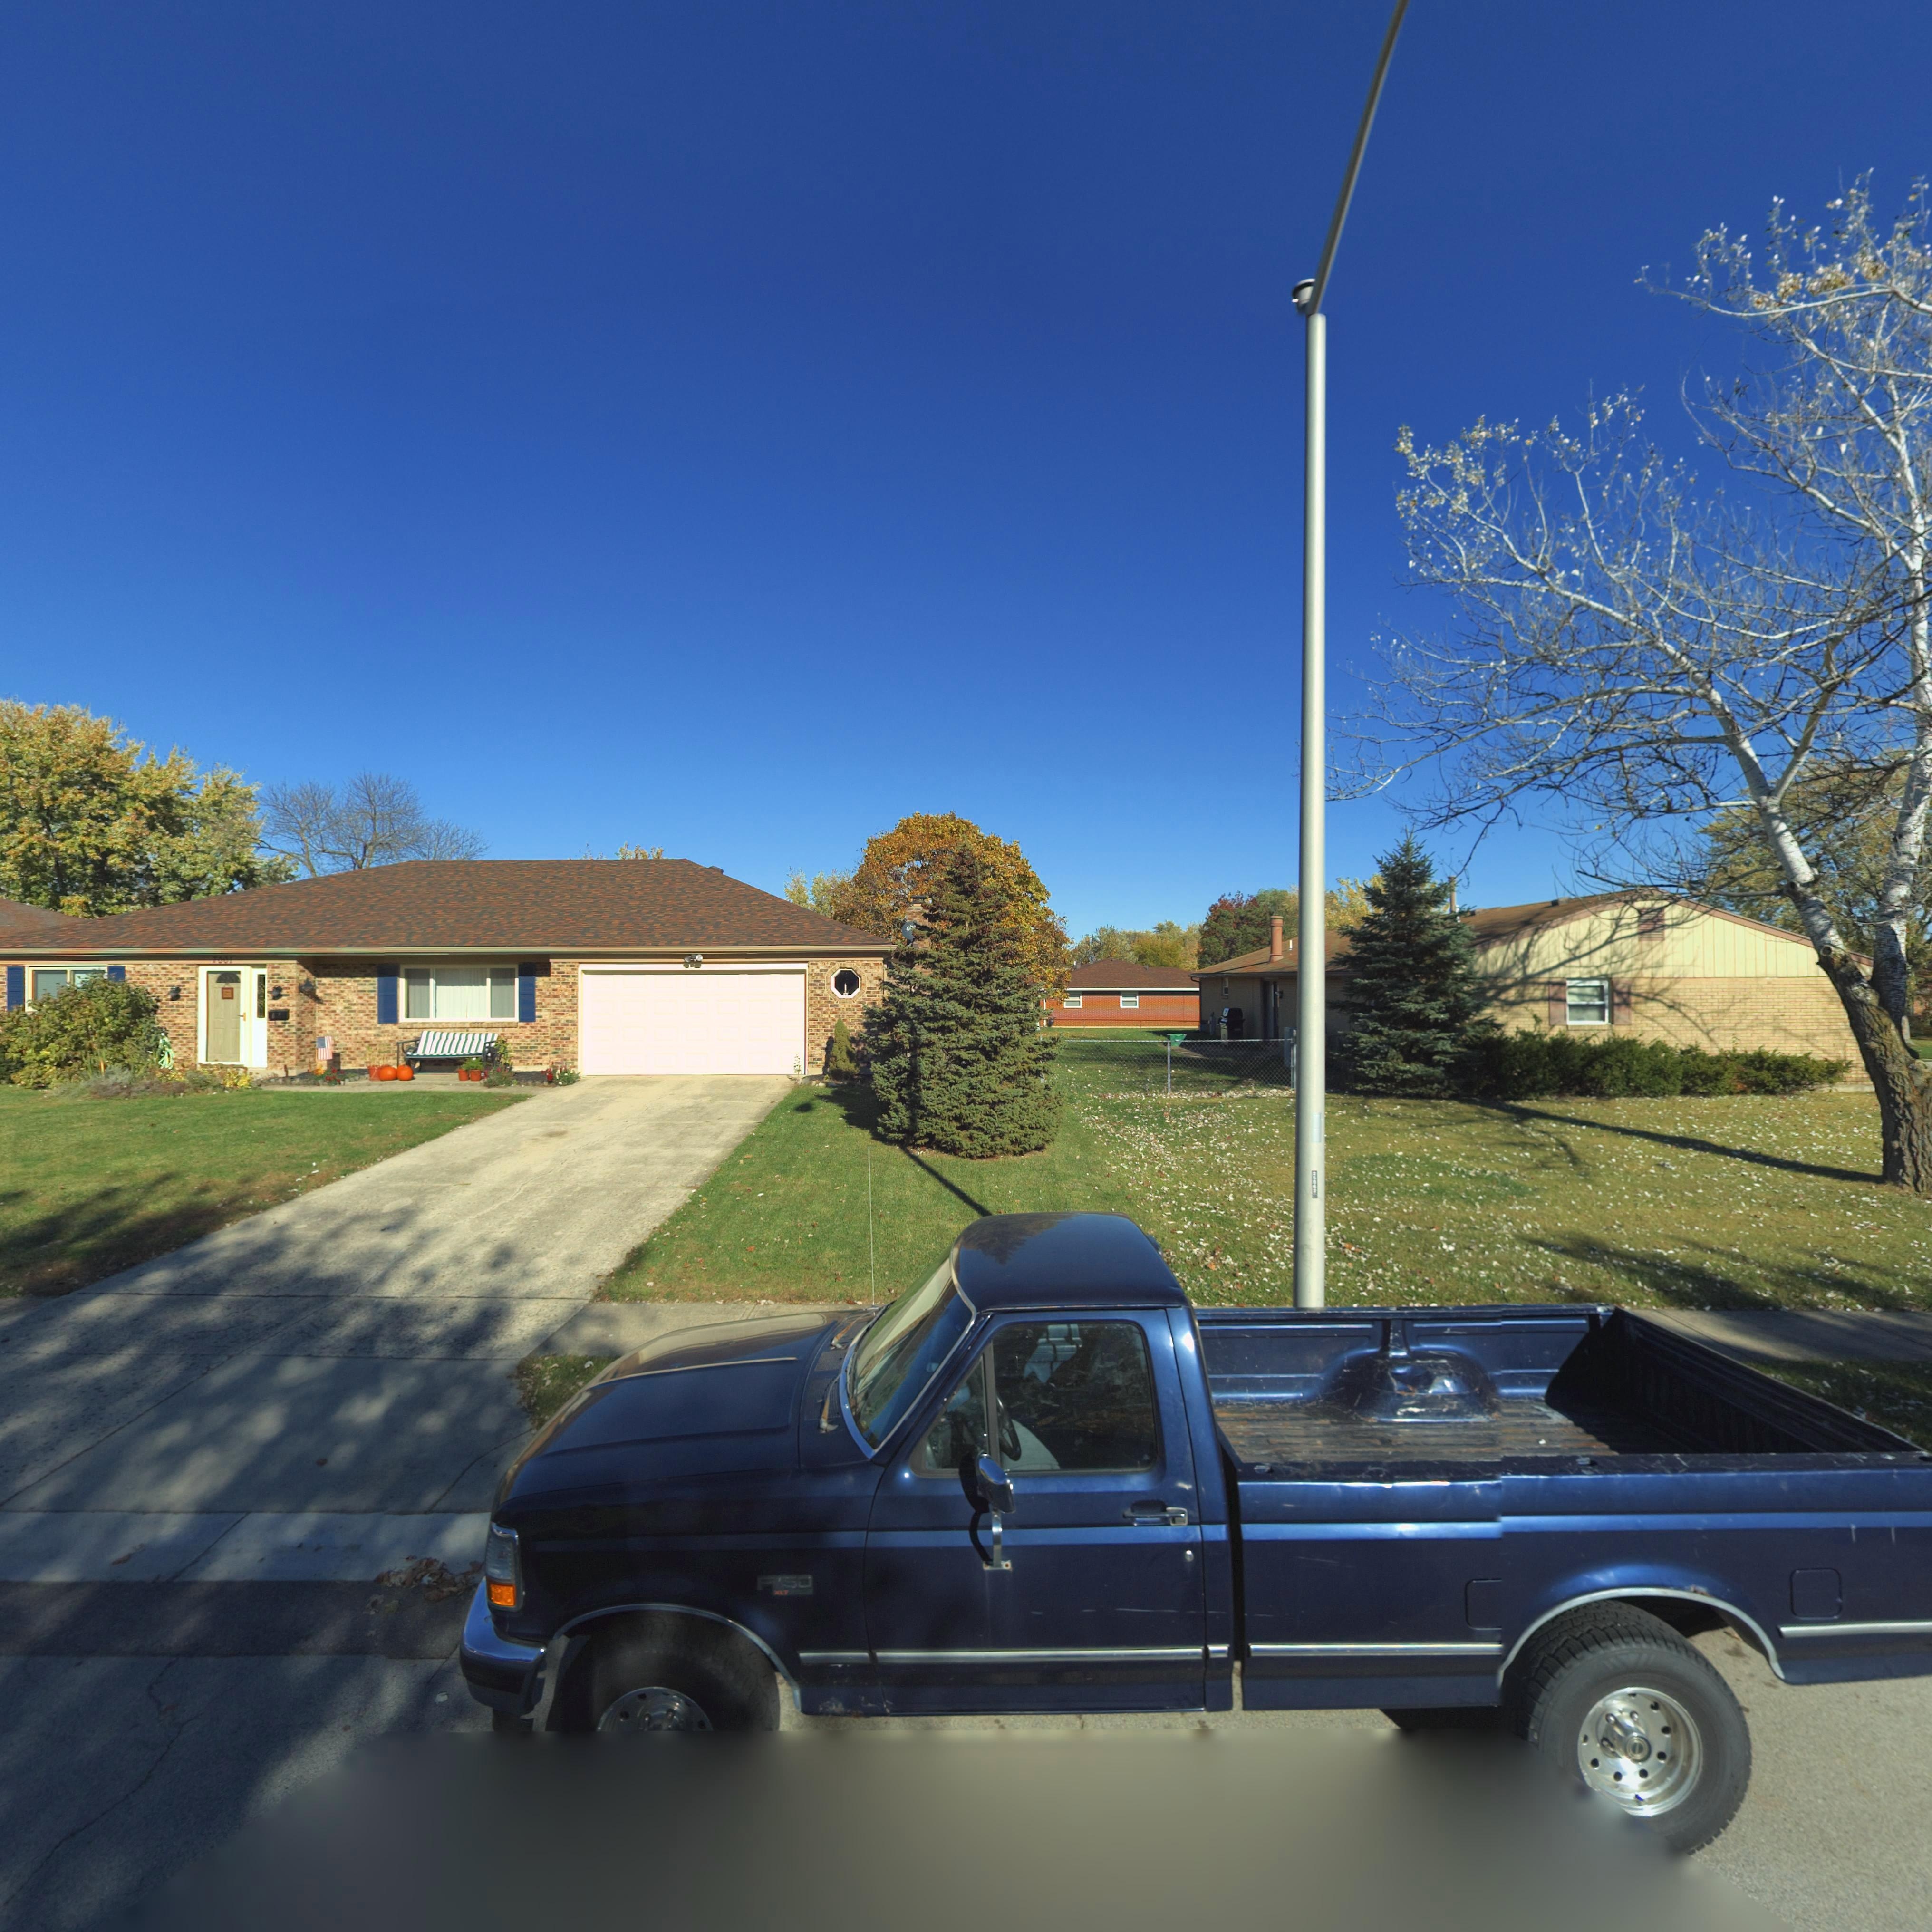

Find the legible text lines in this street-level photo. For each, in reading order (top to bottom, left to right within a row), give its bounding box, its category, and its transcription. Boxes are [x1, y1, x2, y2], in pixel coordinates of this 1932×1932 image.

[212, 956, 233, 964] StreetNumber: 7001